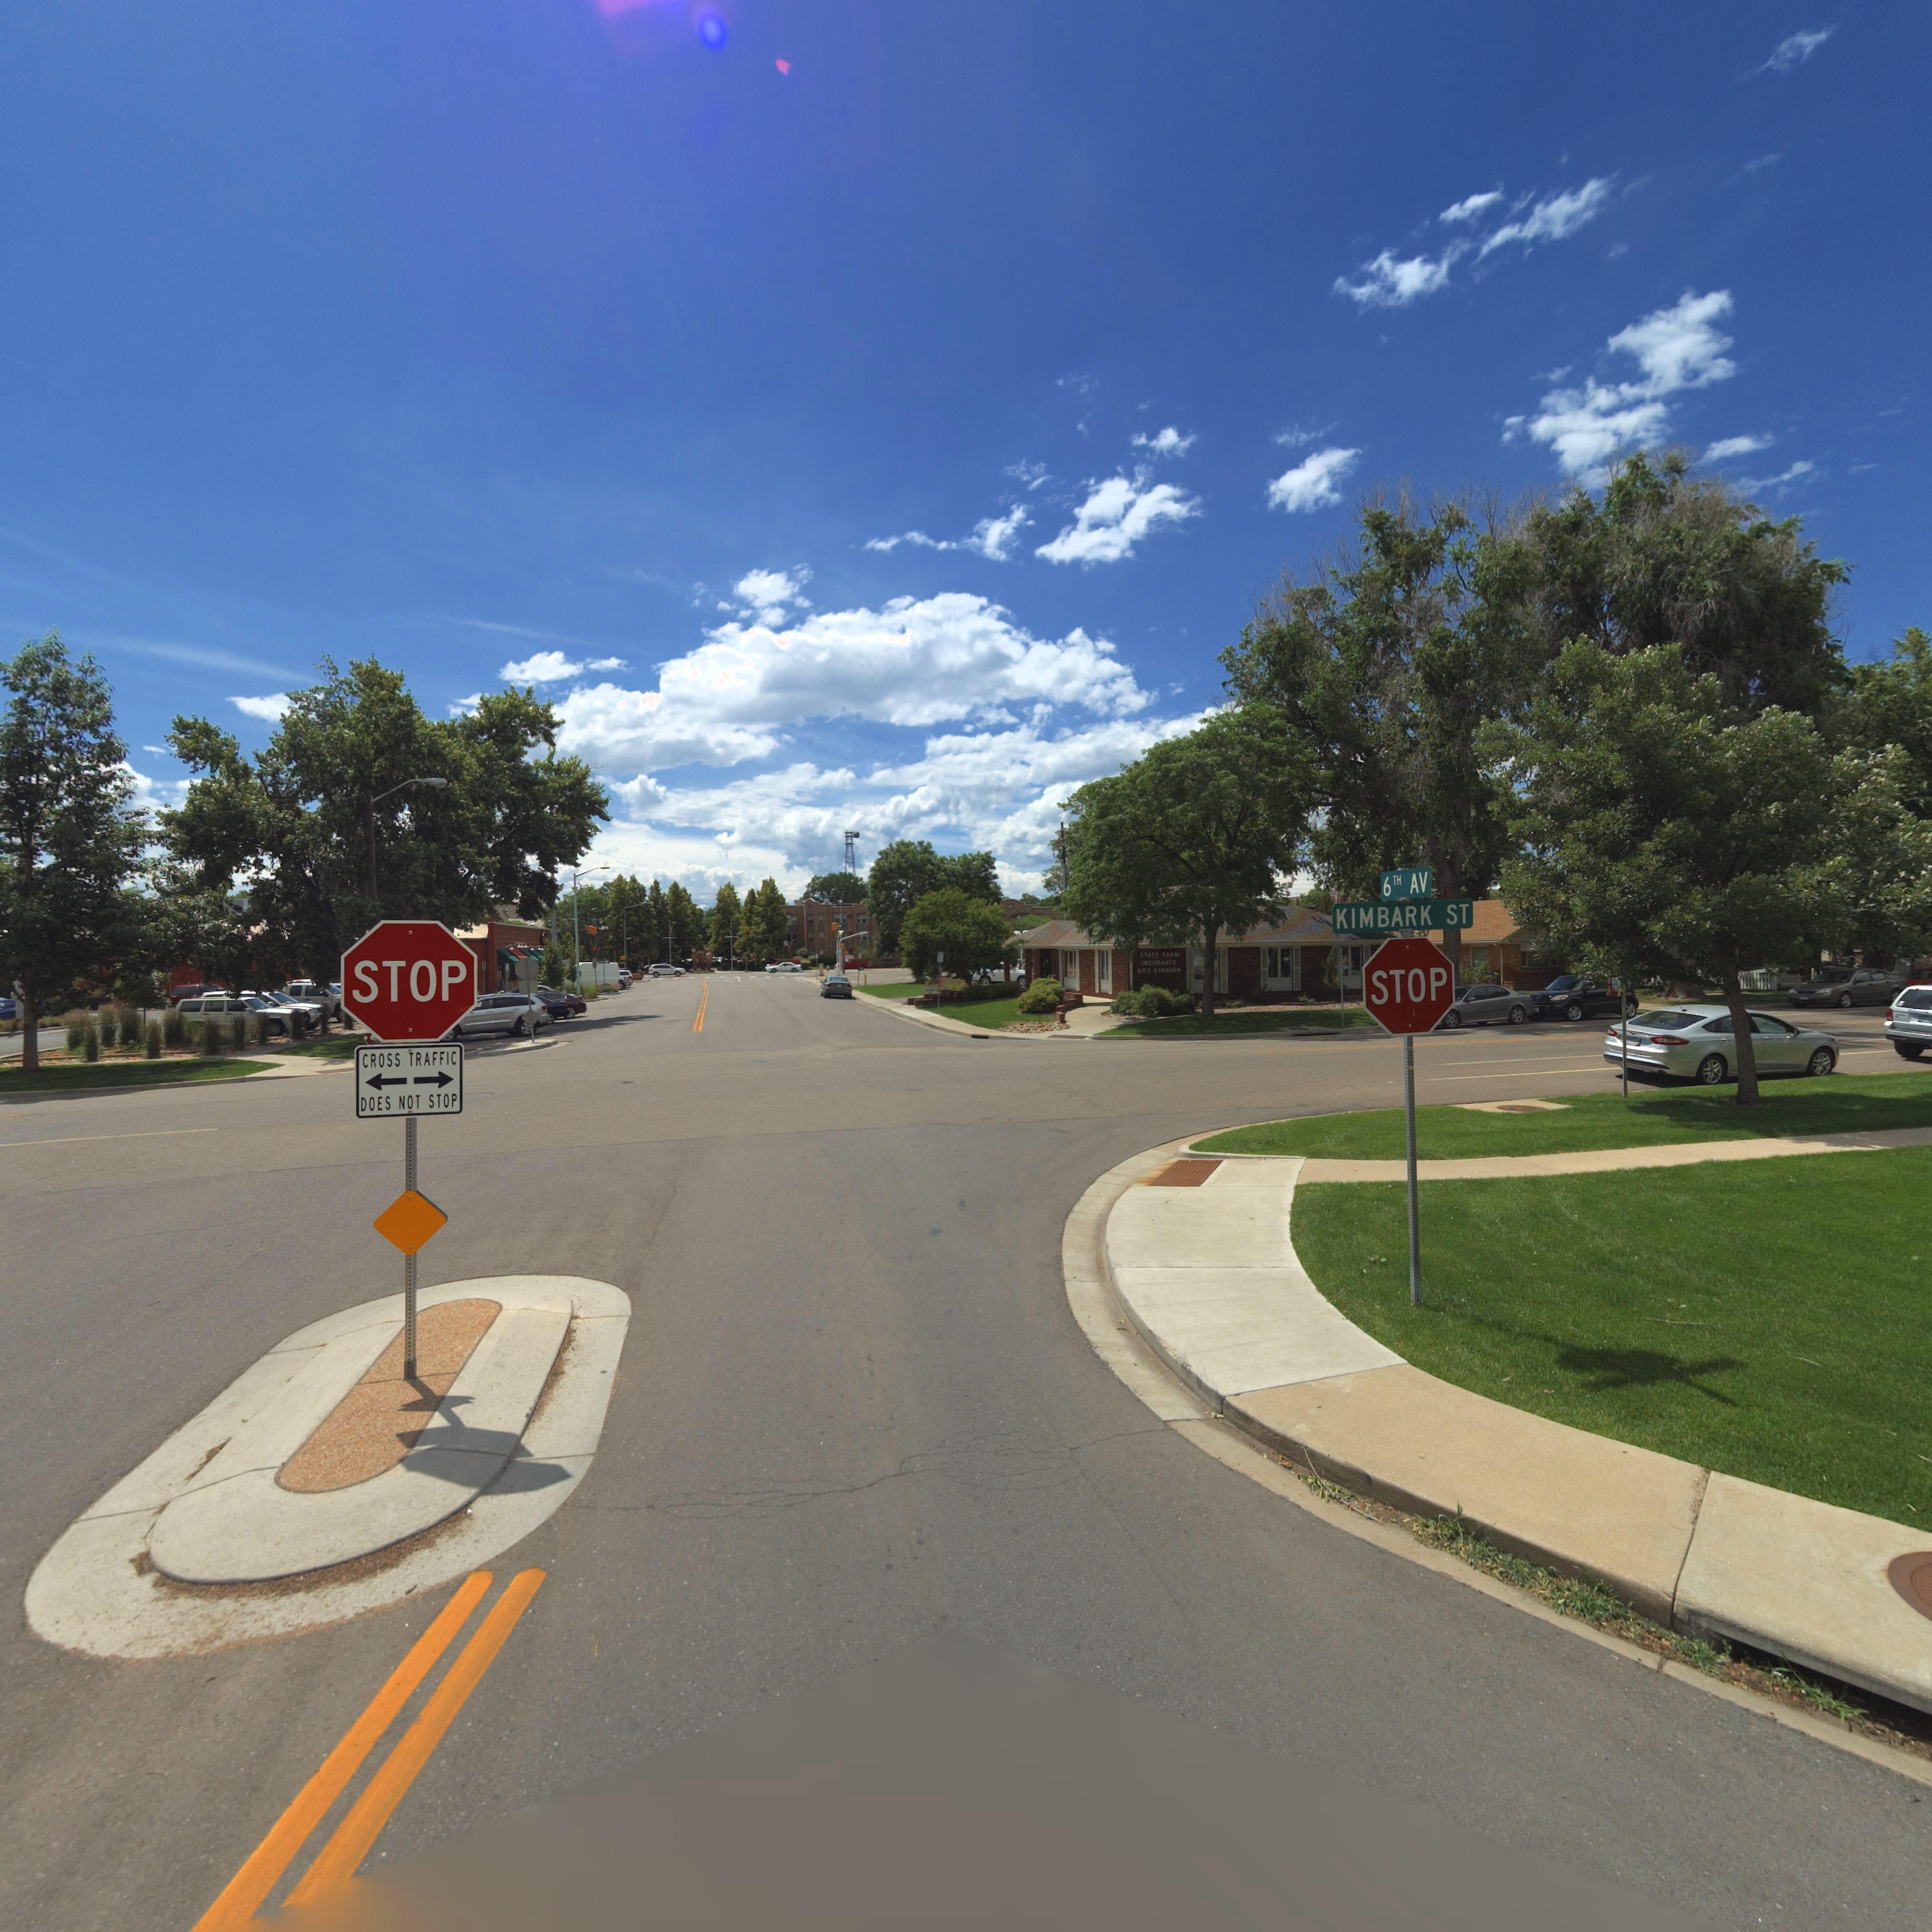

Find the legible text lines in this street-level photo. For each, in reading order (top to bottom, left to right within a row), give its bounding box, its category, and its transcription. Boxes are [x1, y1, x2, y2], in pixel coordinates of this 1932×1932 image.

[1381, 869, 1430, 898] StreetName: 6TH AV
[1336, 904, 1469, 928] StreetName: KIMBARK ST
[1139, 951, 1180, 958] BusinessName: STATE FARM
[1140, 959, 1177, 966] BusinessName: INSURANCE
[1137, 967, 1150, 974] StreetNumber: 603
[1153, 967, 1182, 973] StreetName: KIMBARK
[363, 1051, 456, 1067] BusinessName: CROSS TRAFFIC